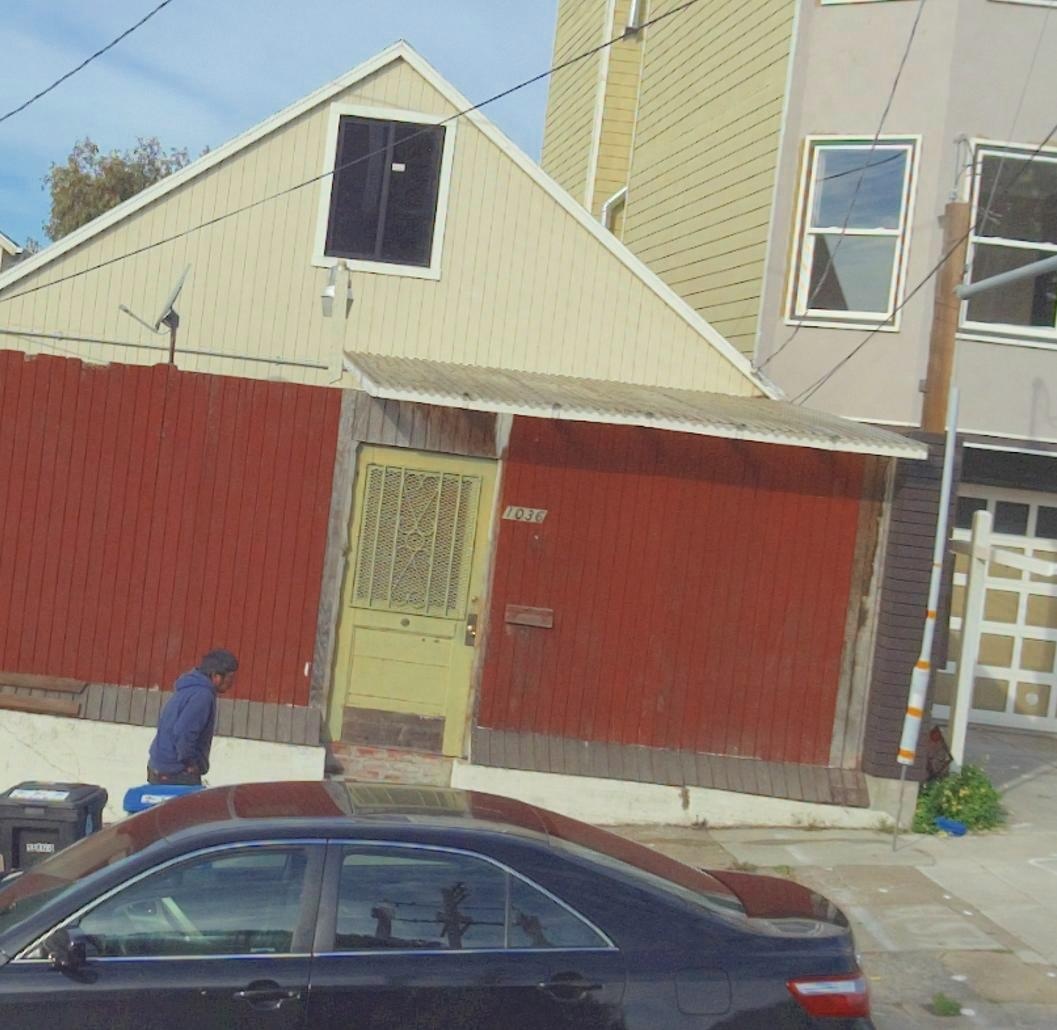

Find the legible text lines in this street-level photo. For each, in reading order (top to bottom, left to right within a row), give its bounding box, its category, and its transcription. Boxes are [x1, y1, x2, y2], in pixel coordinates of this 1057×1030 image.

[502, 506, 549, 523] StreetNumber: 1036